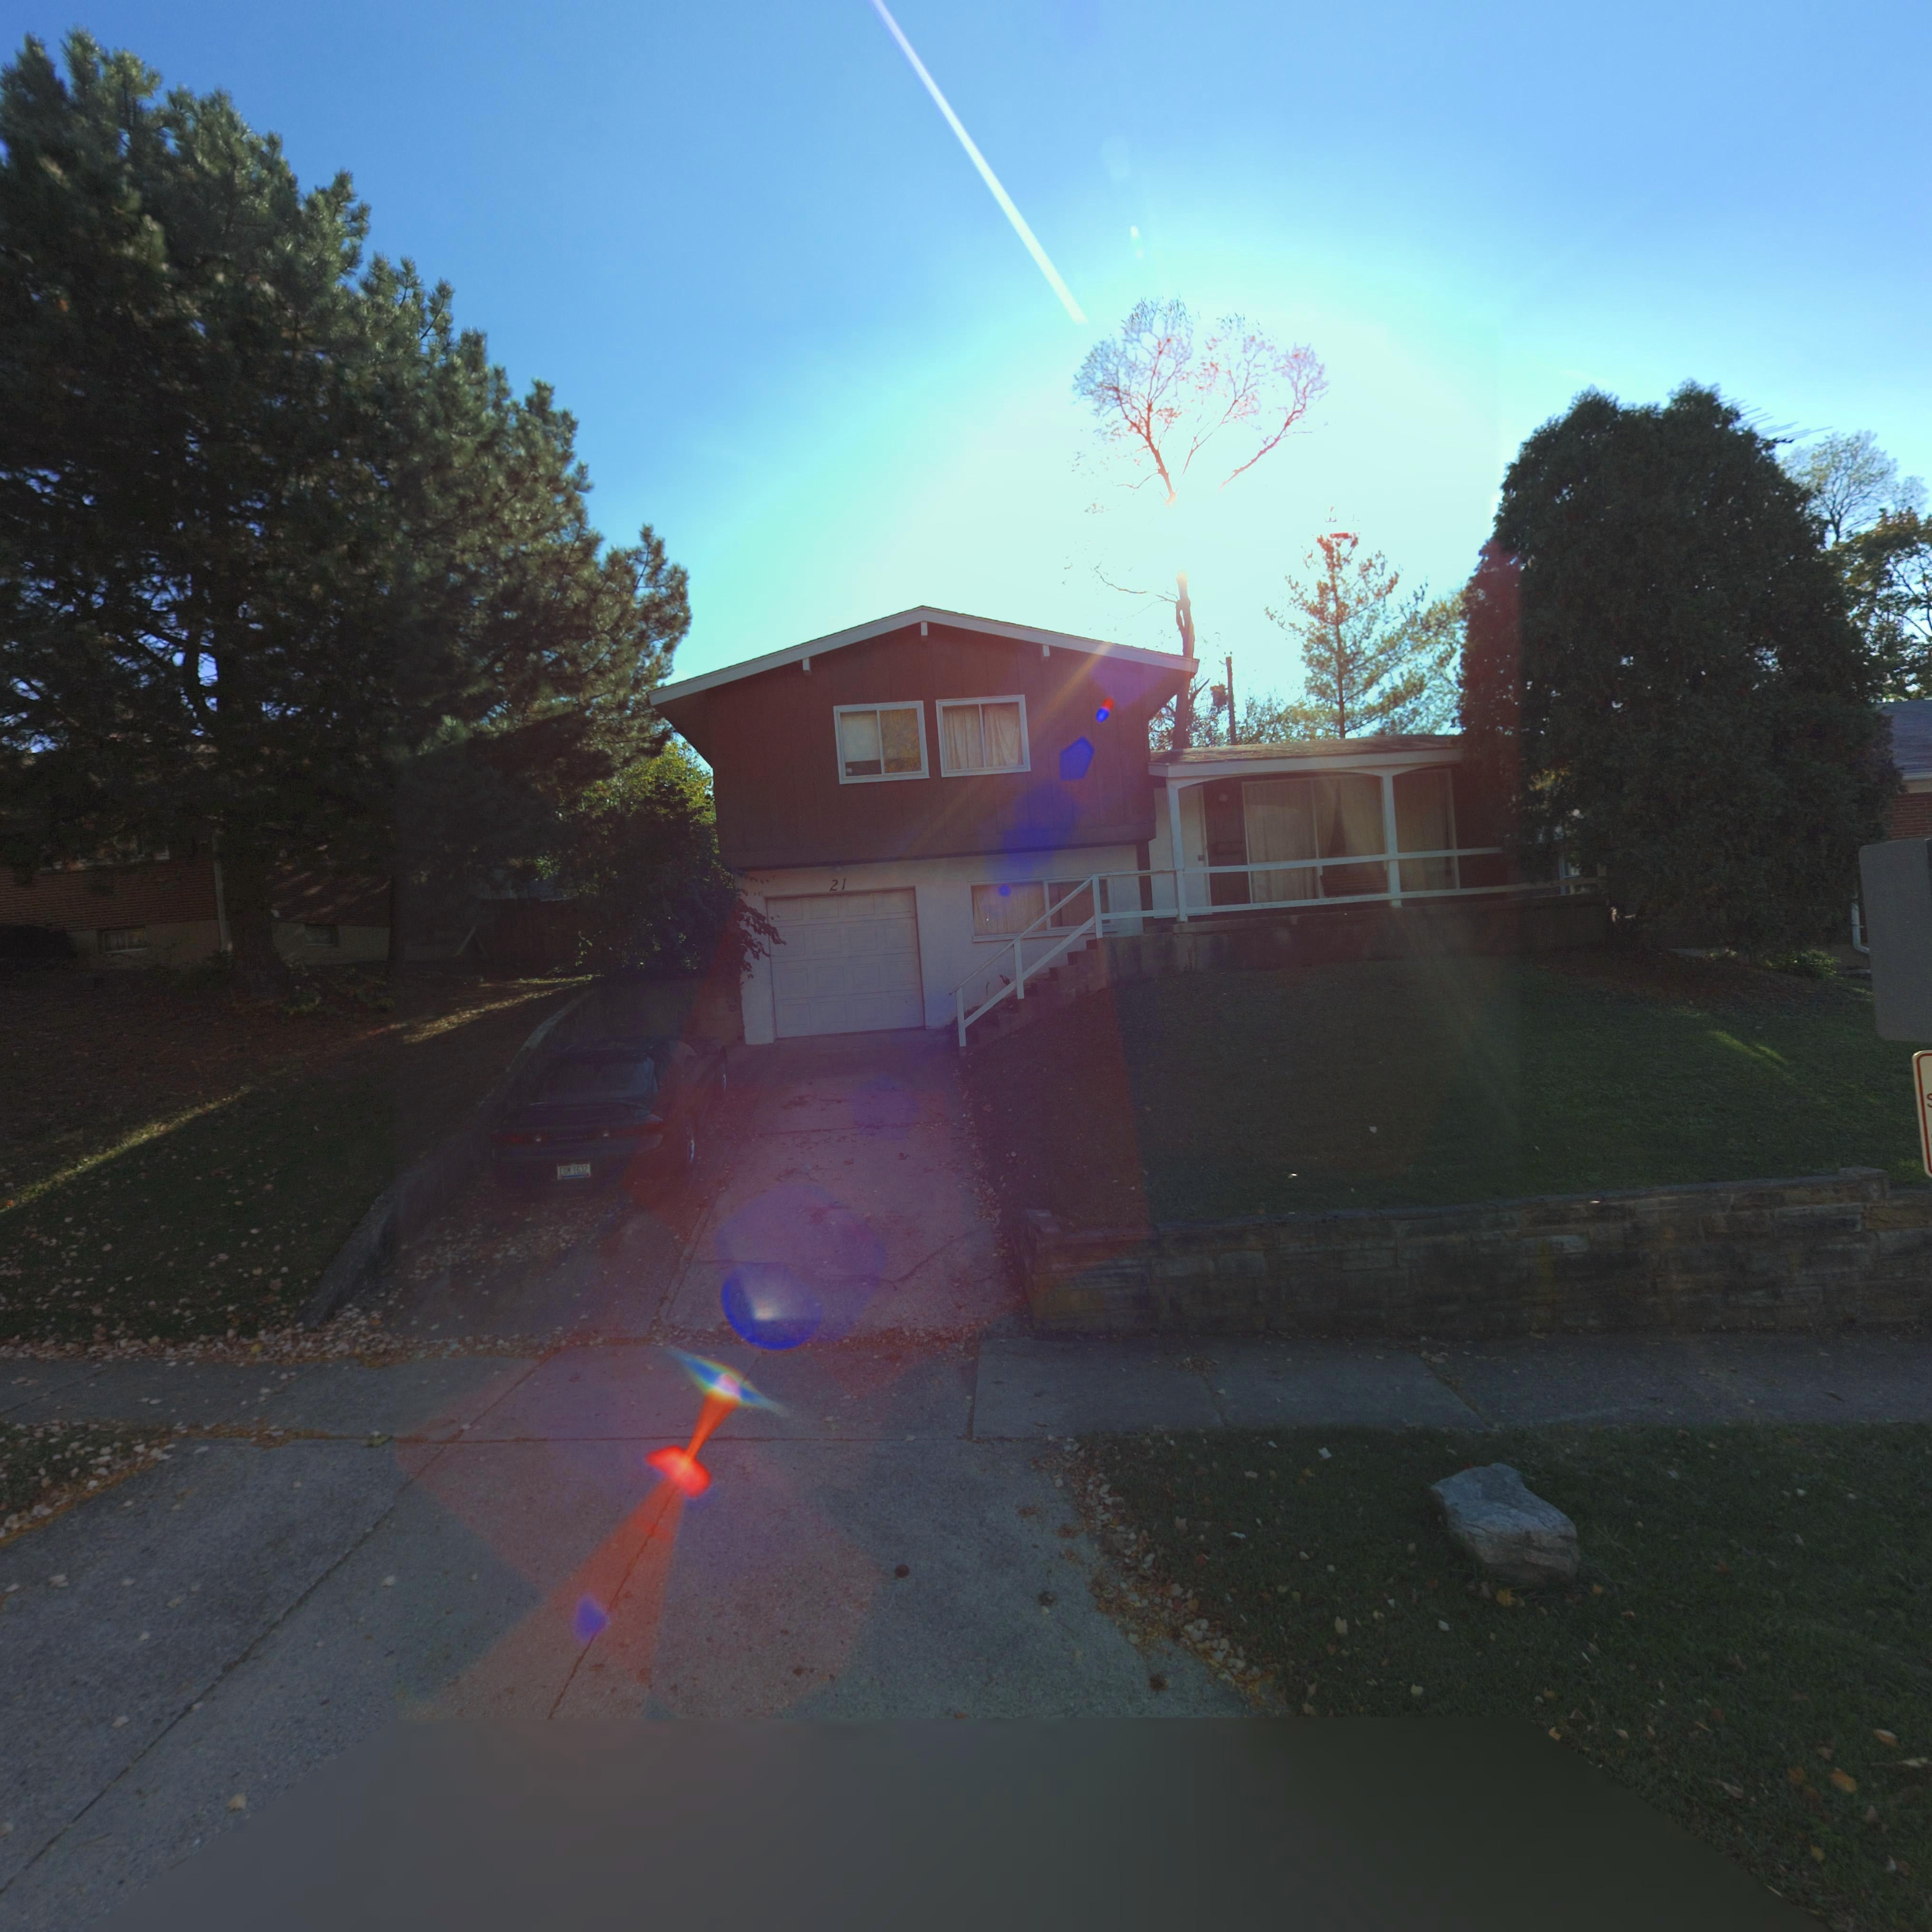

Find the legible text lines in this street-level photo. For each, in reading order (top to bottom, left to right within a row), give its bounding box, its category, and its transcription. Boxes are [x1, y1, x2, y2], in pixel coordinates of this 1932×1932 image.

[828, 877, 847, 892] StreetNumber: 21